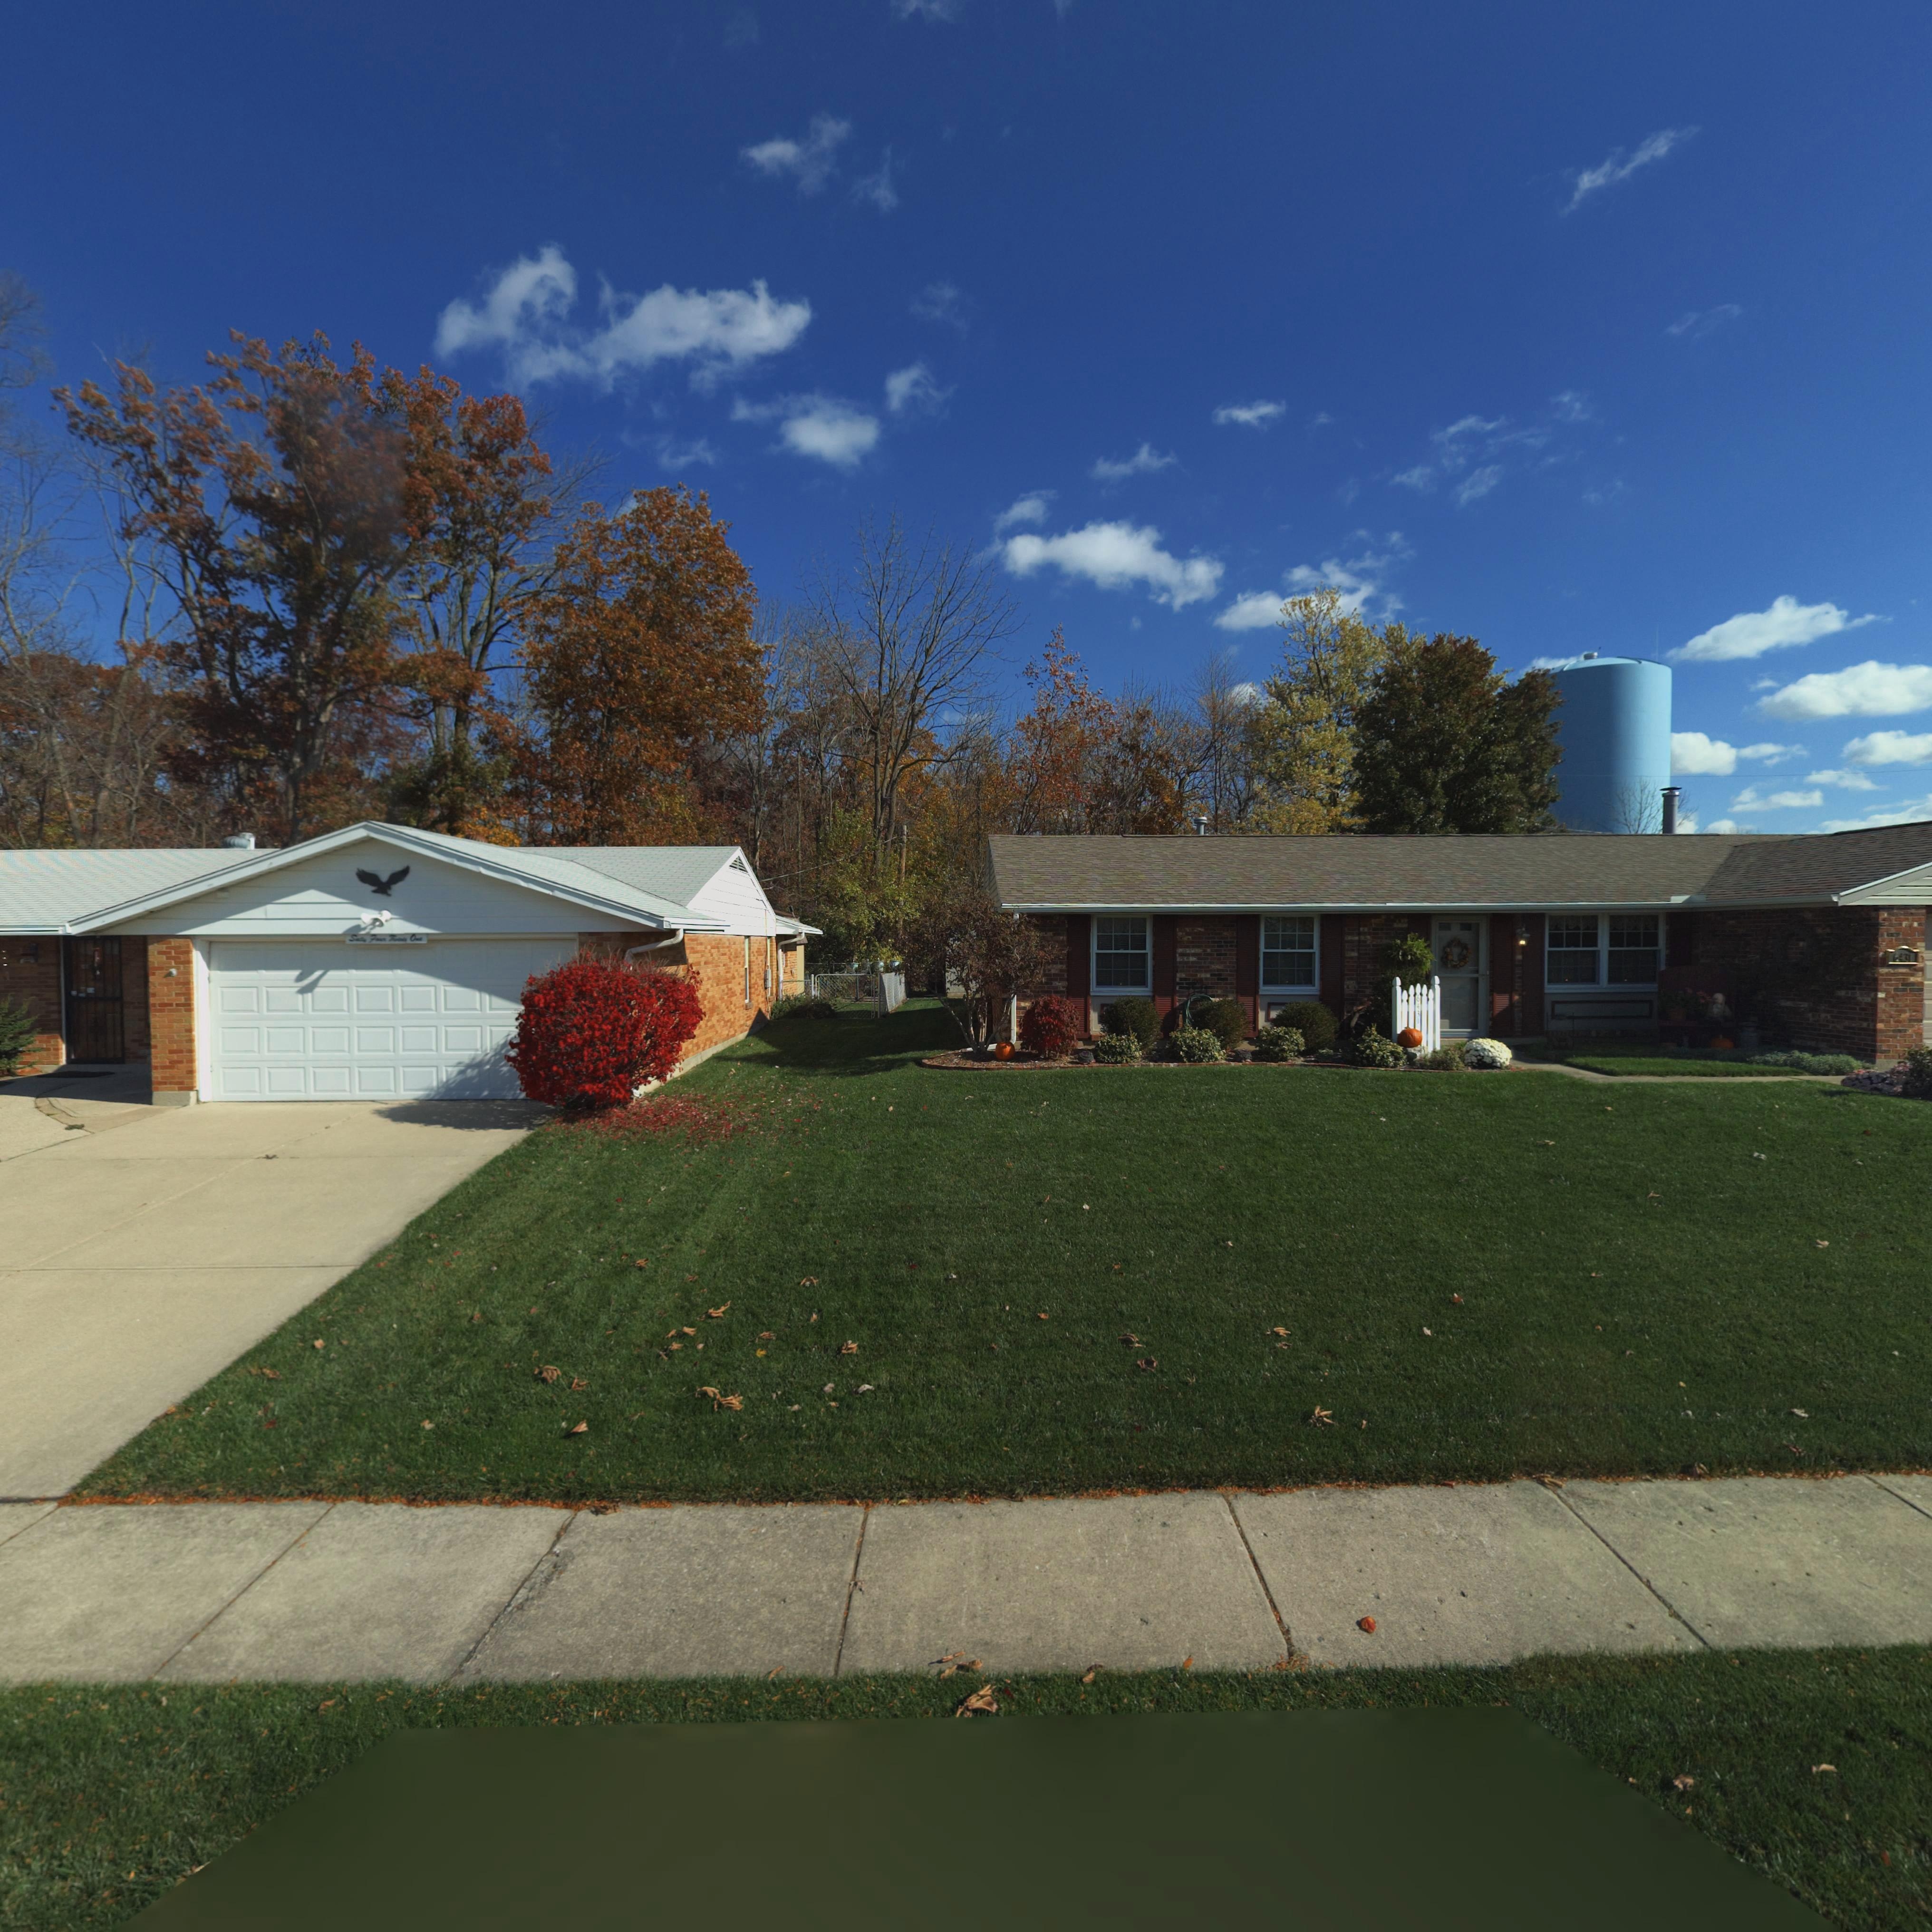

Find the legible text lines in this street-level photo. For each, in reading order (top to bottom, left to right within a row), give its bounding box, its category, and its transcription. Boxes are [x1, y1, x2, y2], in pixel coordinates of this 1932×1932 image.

[348, 933, 424, 943] StreetNumber: Sixty Four Twenty One
[1893, 952, 1912, 963] StreetNumber: 6431
[1415, 994, 1420, 1025] StreetNumber: 6431